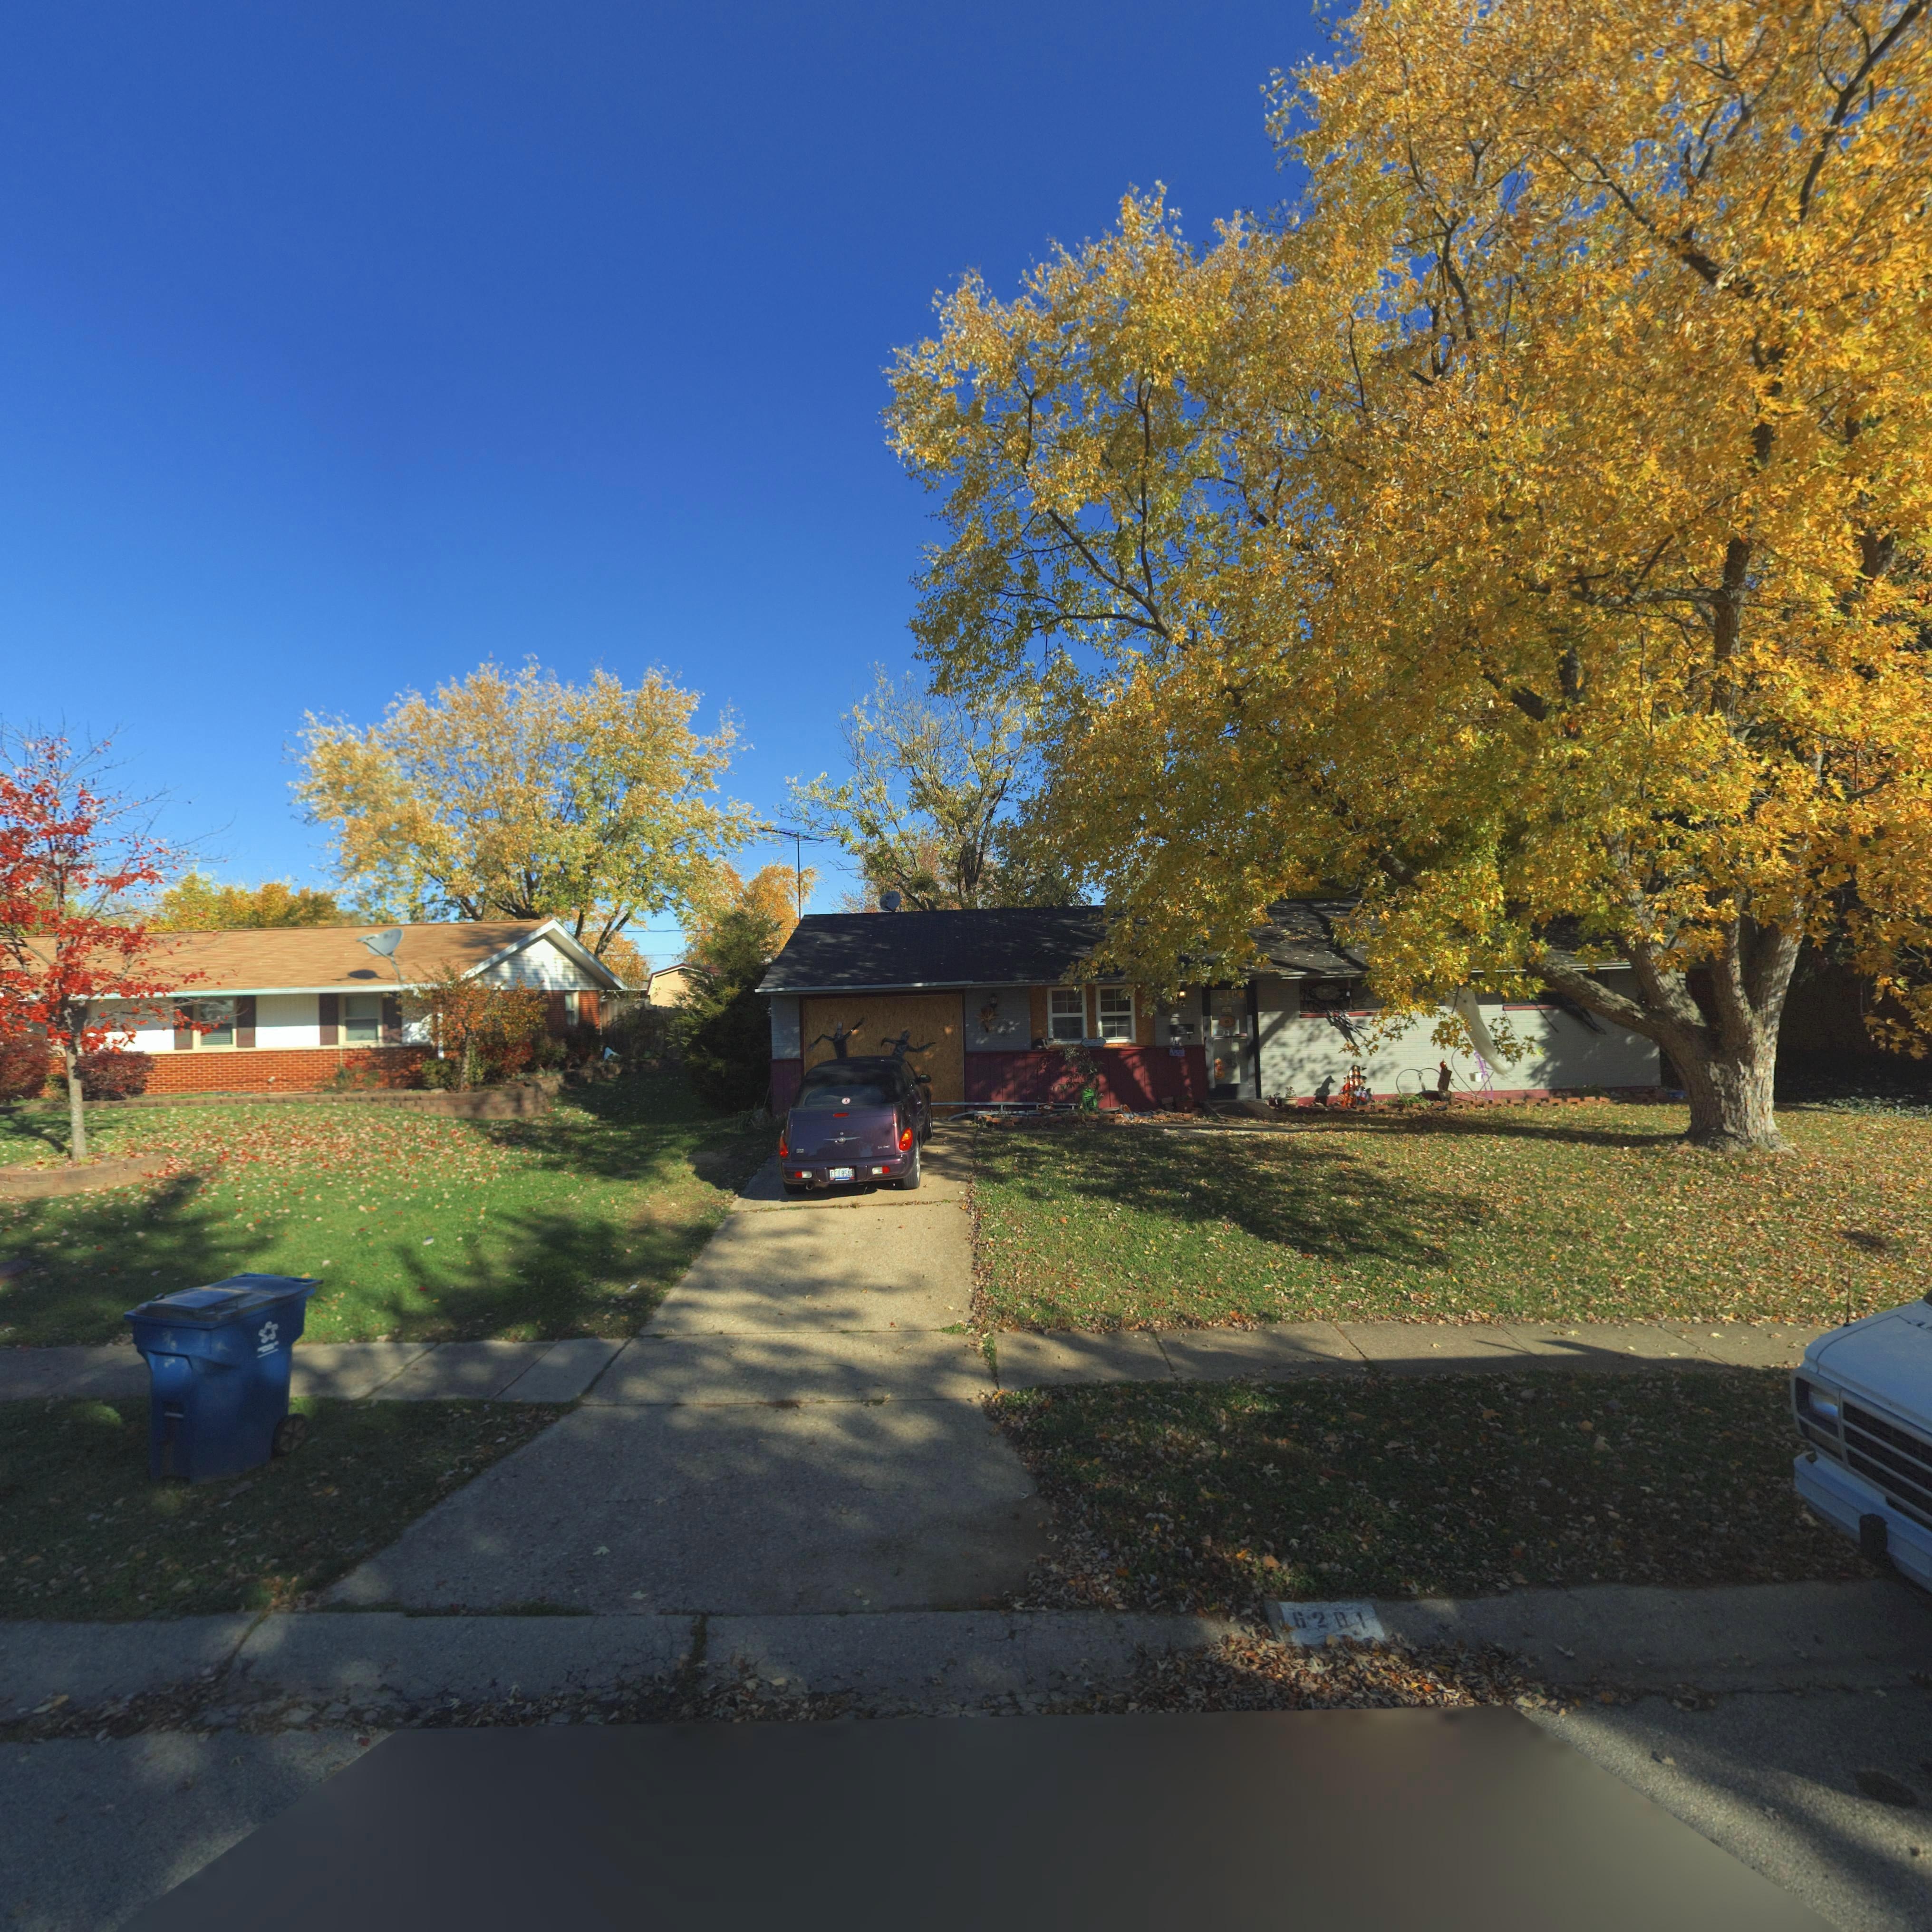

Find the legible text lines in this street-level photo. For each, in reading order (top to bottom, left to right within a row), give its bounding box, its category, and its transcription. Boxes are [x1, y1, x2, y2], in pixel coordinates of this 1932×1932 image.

[1185, 1008, 1190, 1017] StreetNumber: 1
[1291, 1610, 1369, 1632] StreetNumber: 6201